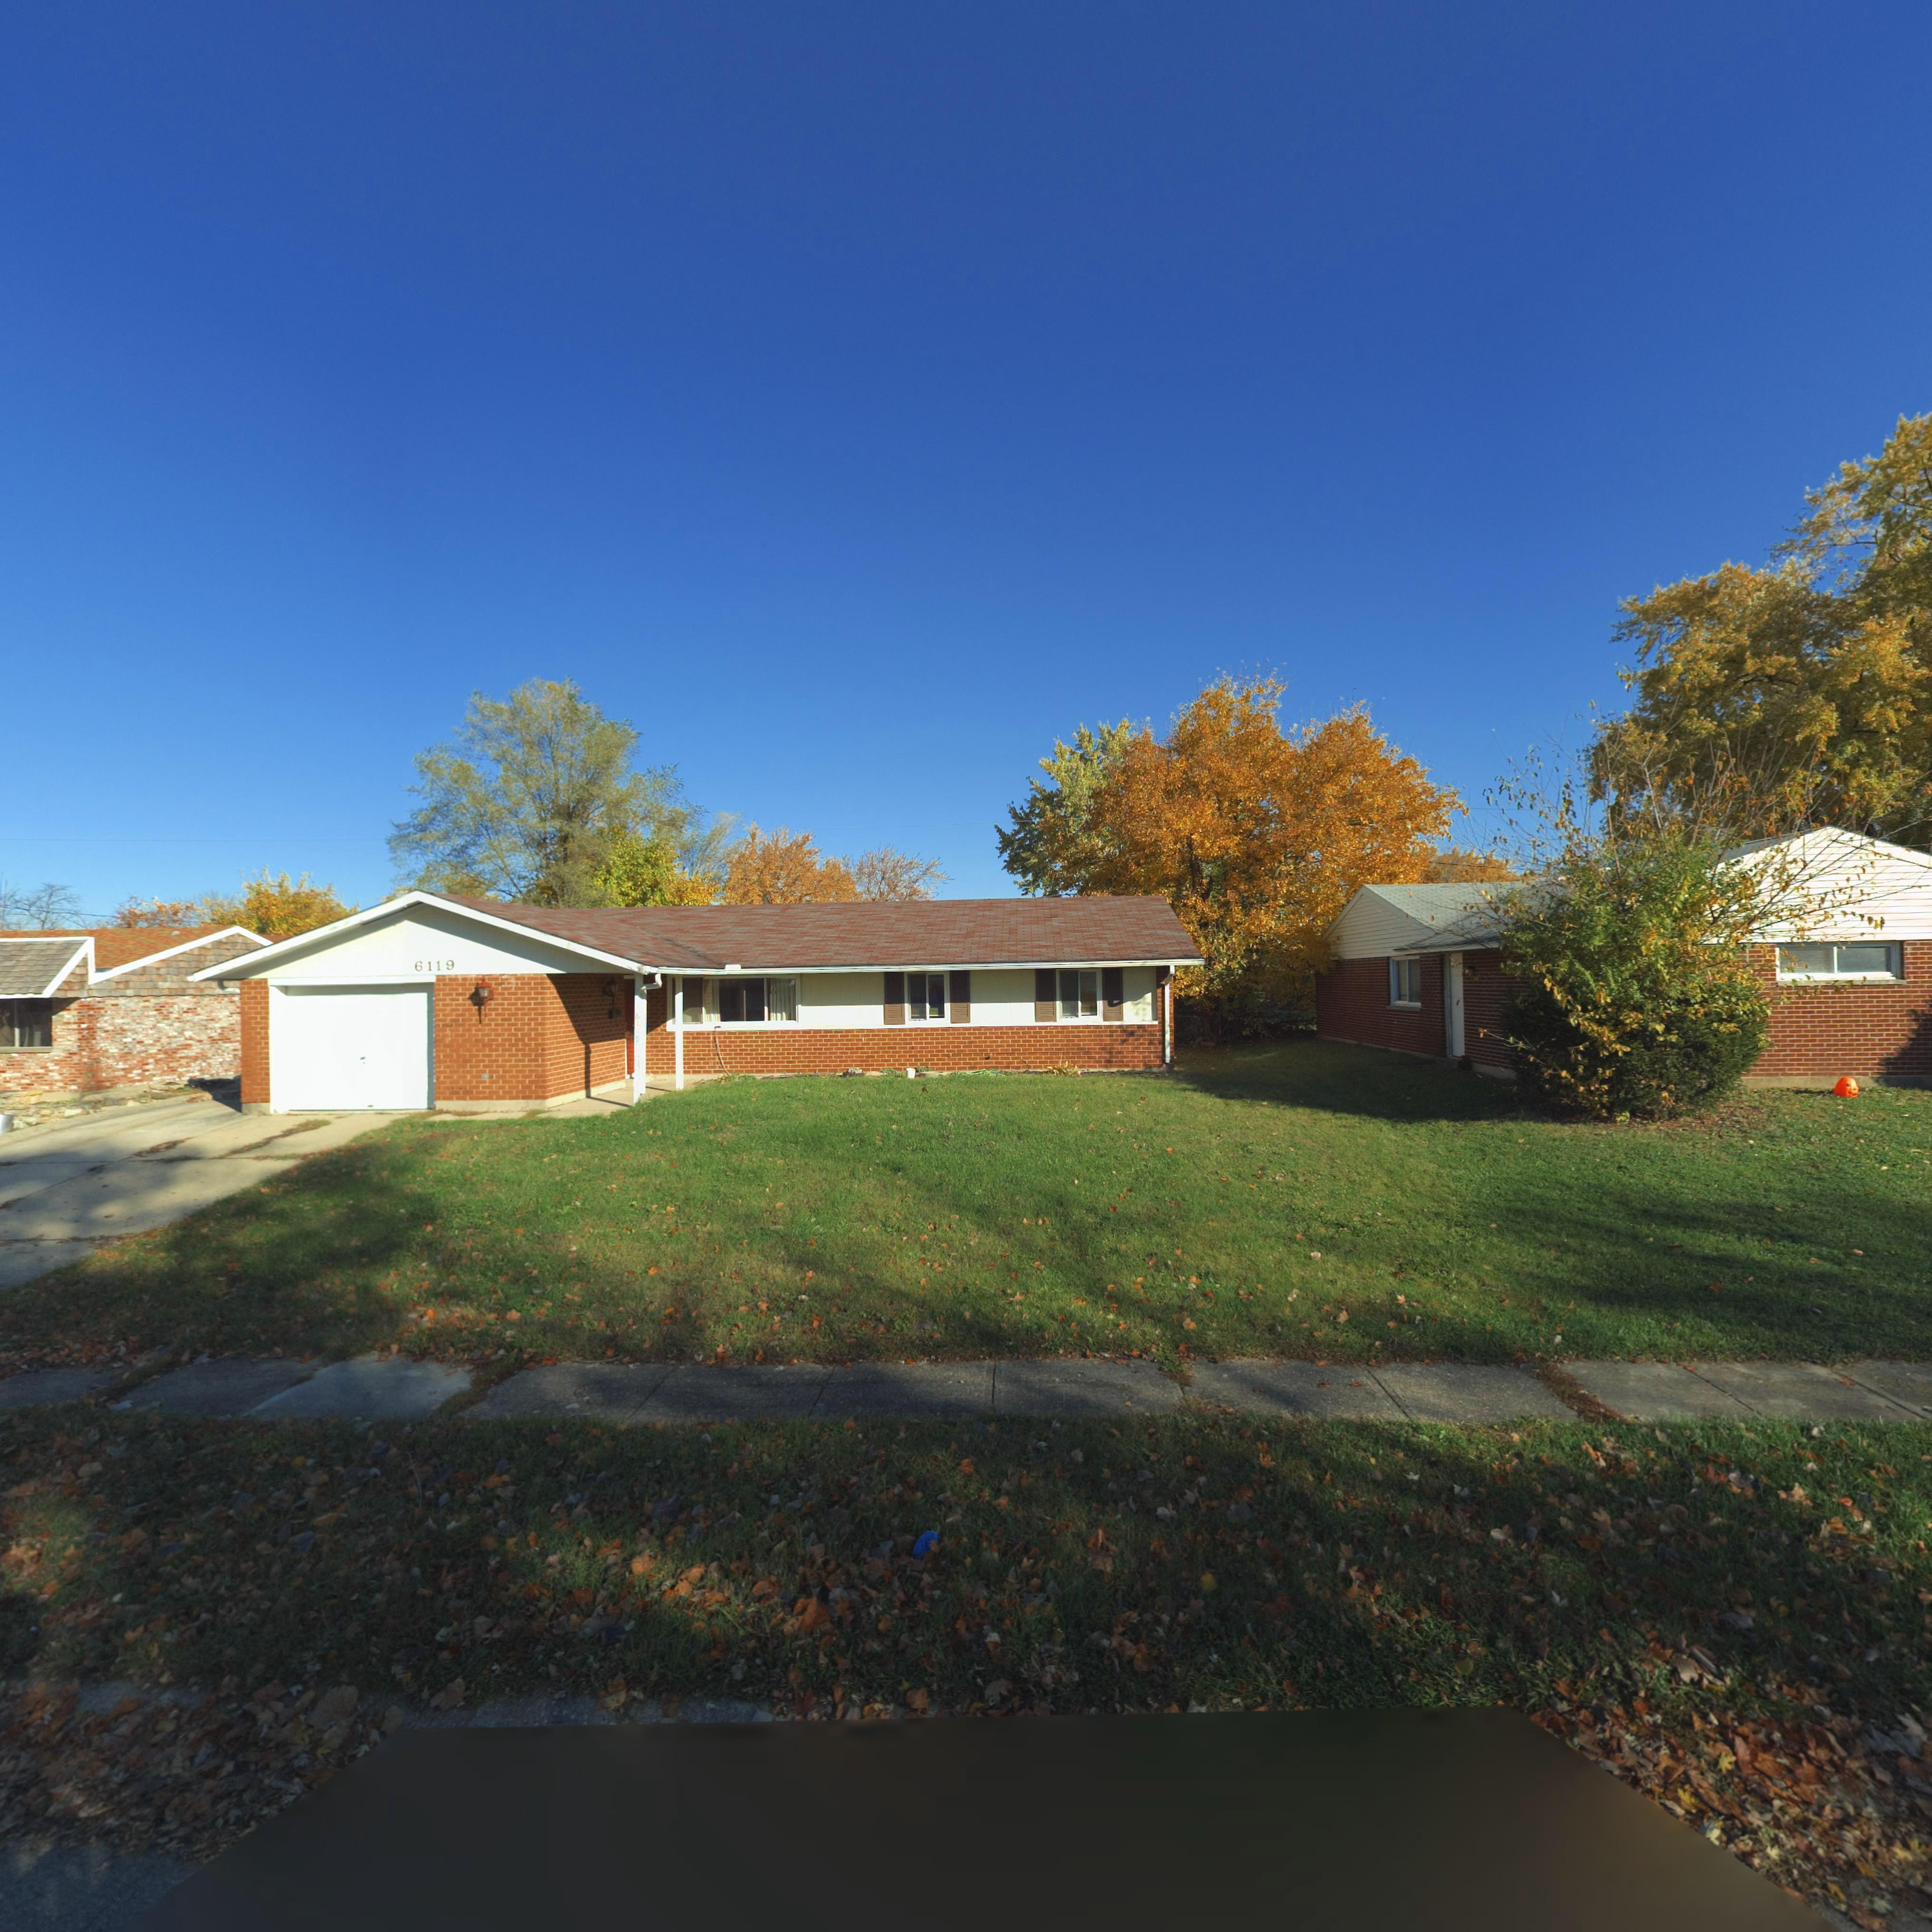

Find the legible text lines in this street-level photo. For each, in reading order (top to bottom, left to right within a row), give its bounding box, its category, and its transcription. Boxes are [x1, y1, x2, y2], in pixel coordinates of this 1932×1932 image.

[414, 959, 455, 972] StreetNumber: 6119
[635, 1012, 640, 1043] StreetNumber: 6119